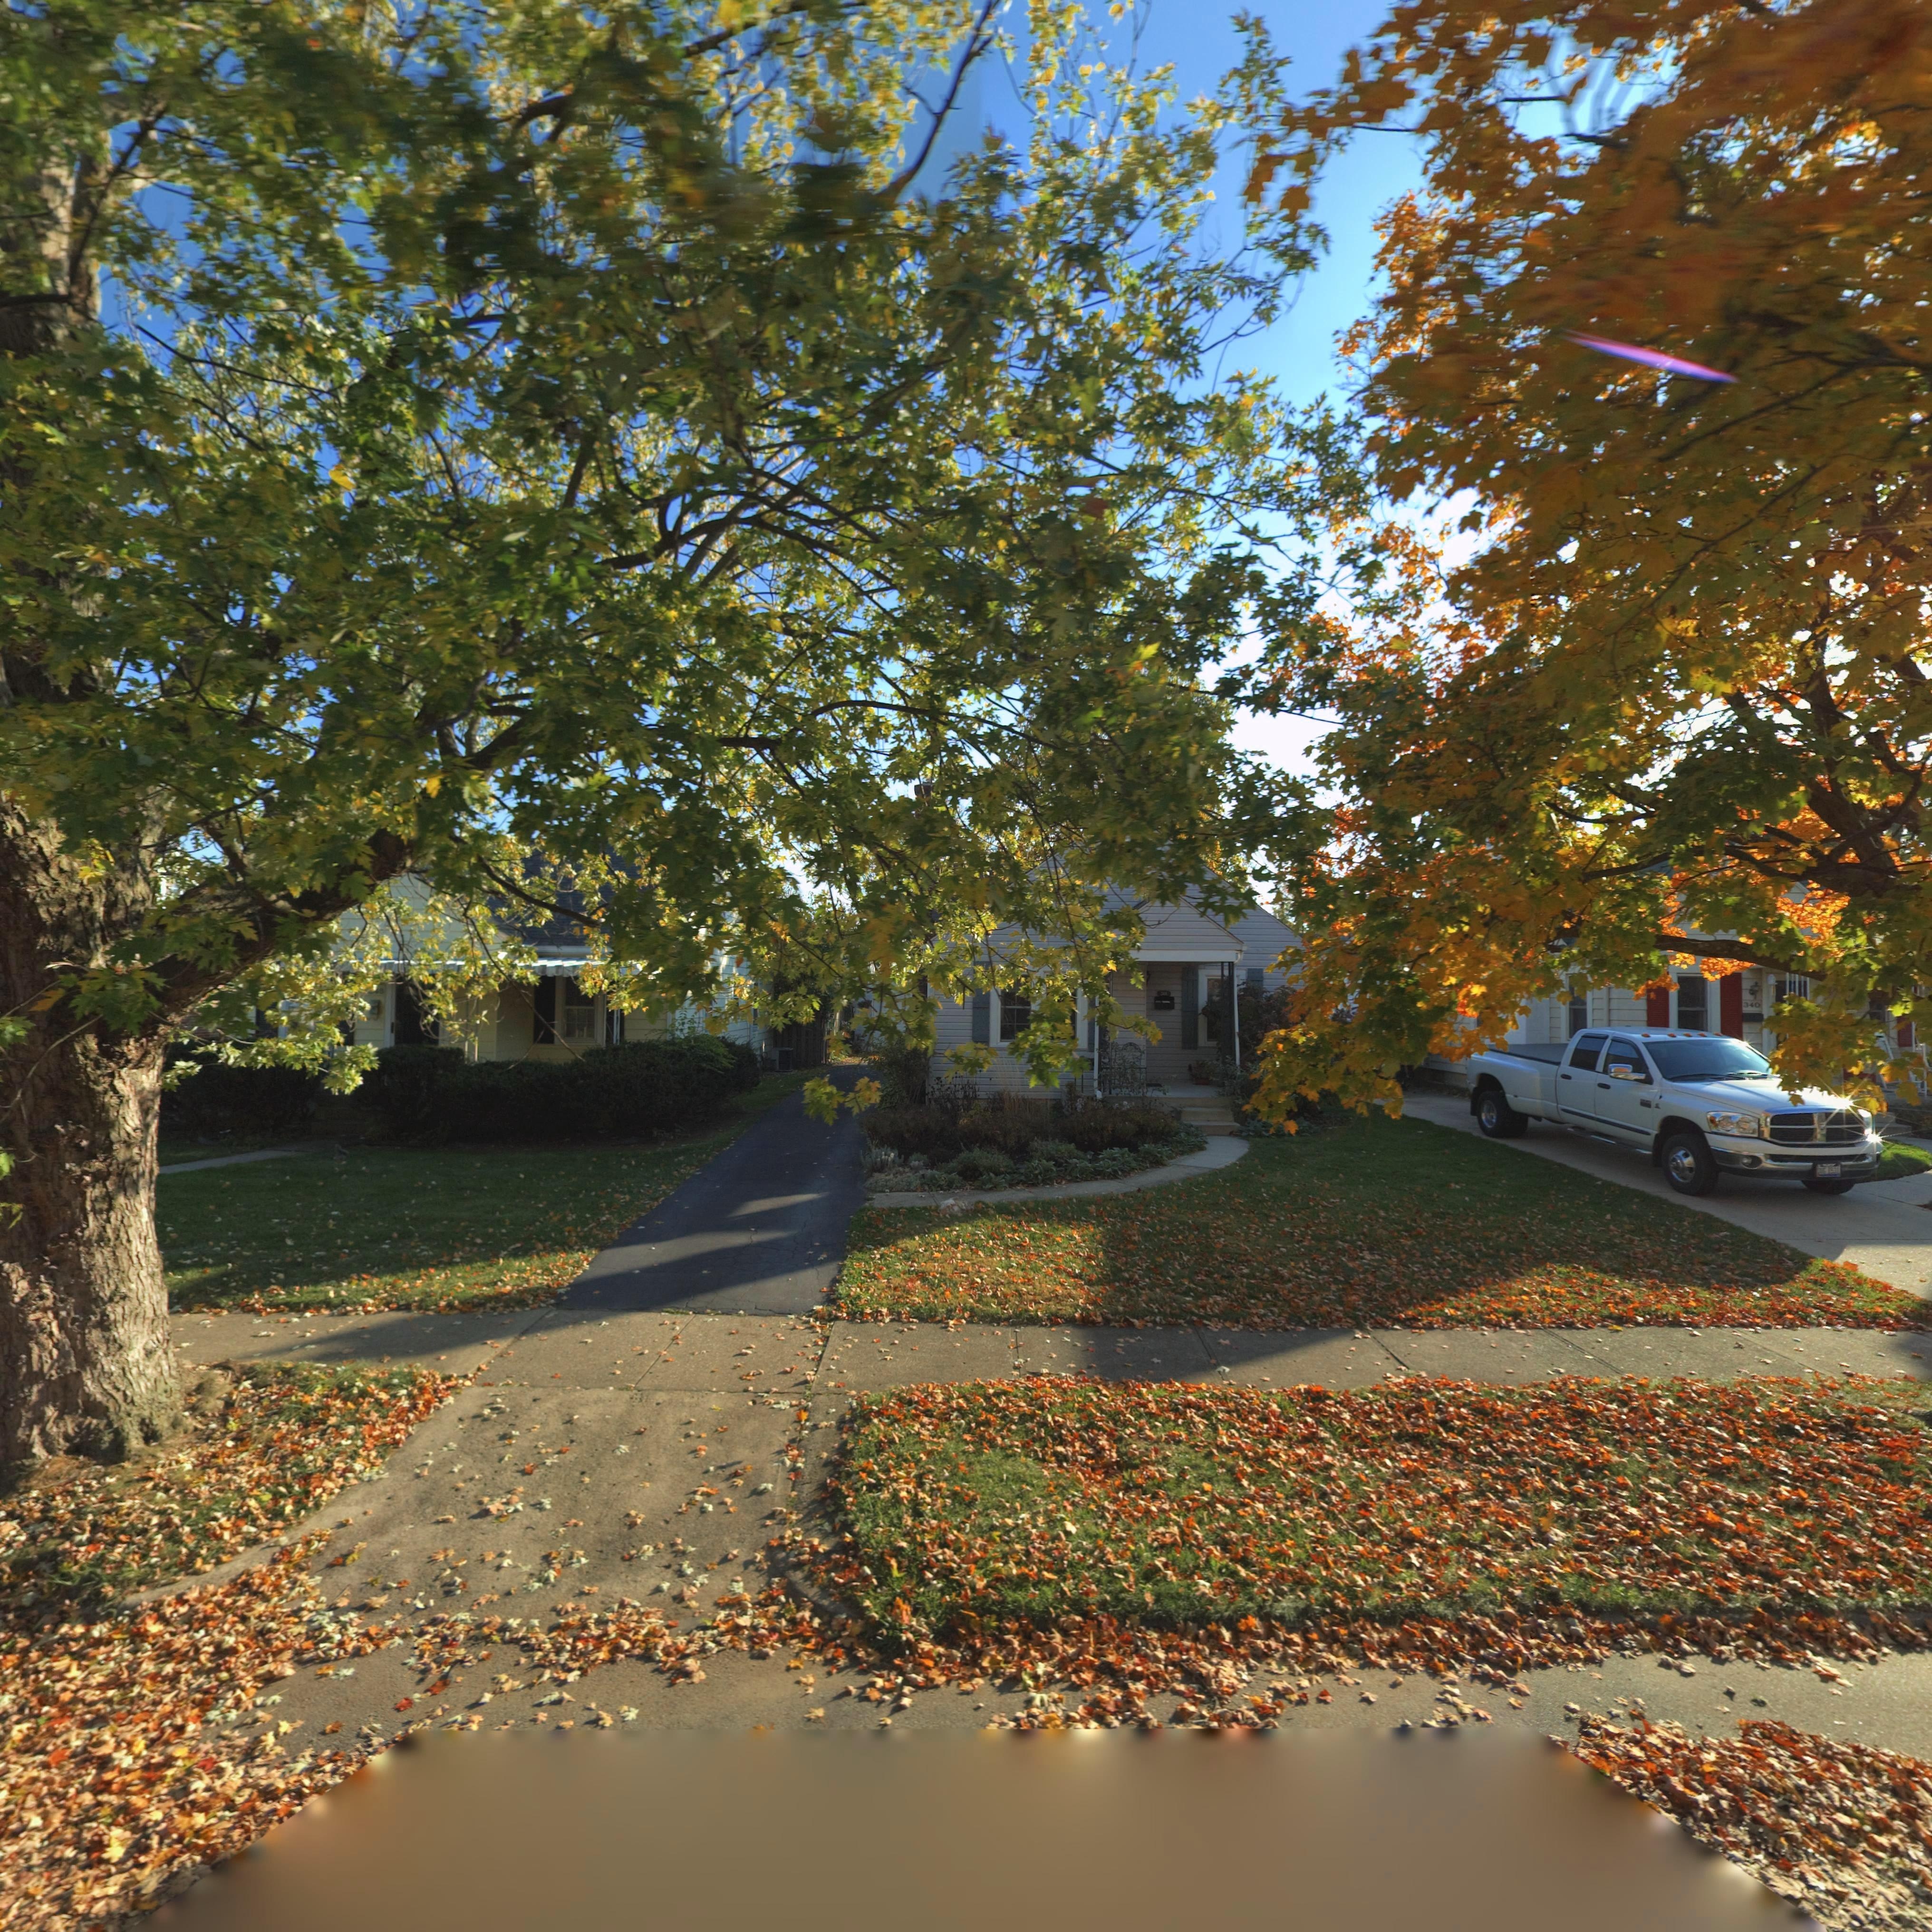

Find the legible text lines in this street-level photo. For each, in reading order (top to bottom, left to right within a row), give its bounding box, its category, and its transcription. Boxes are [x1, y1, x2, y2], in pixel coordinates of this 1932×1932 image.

[367, 987, 385, 995] StreetNumber: **8
[1159, 991, 1168, 996] StreetNumber: 344
[1743, 1001, 1761, 1008] StreetNumber: 340